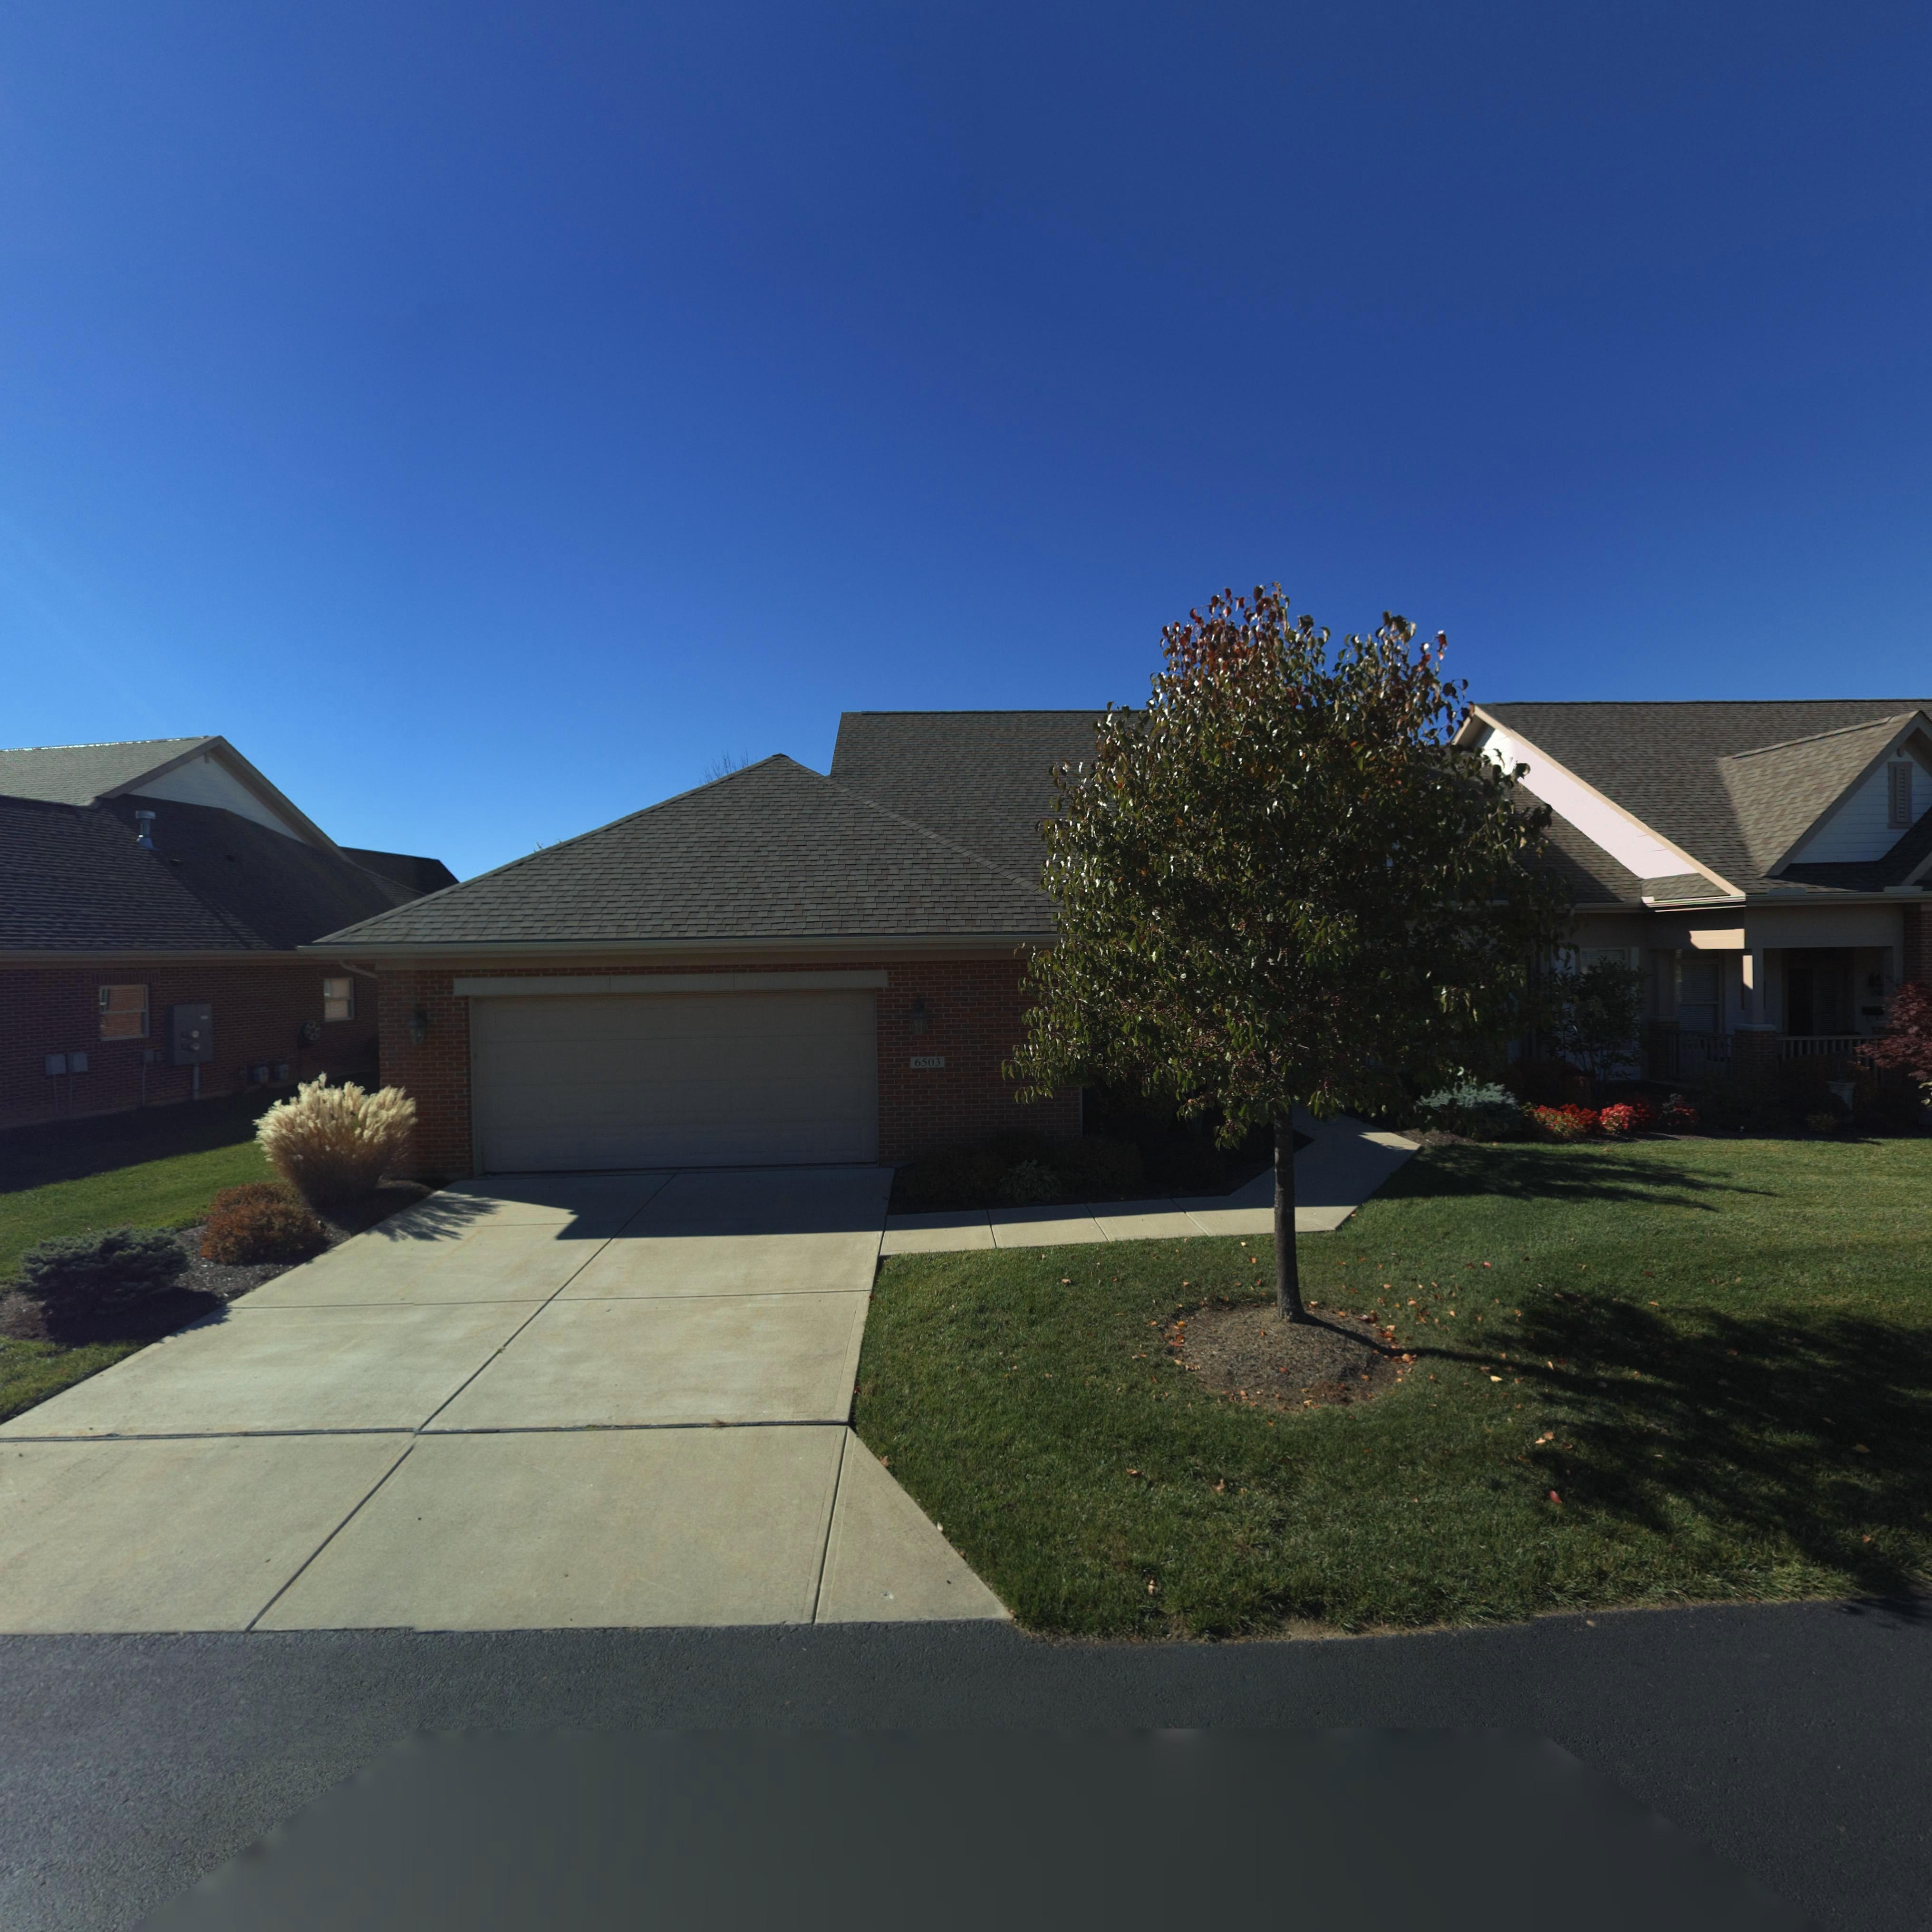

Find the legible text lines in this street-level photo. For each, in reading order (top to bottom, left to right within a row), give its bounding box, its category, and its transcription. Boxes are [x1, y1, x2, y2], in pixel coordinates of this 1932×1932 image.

[914, 1057, 941, 1067] StreetNumber: 6503